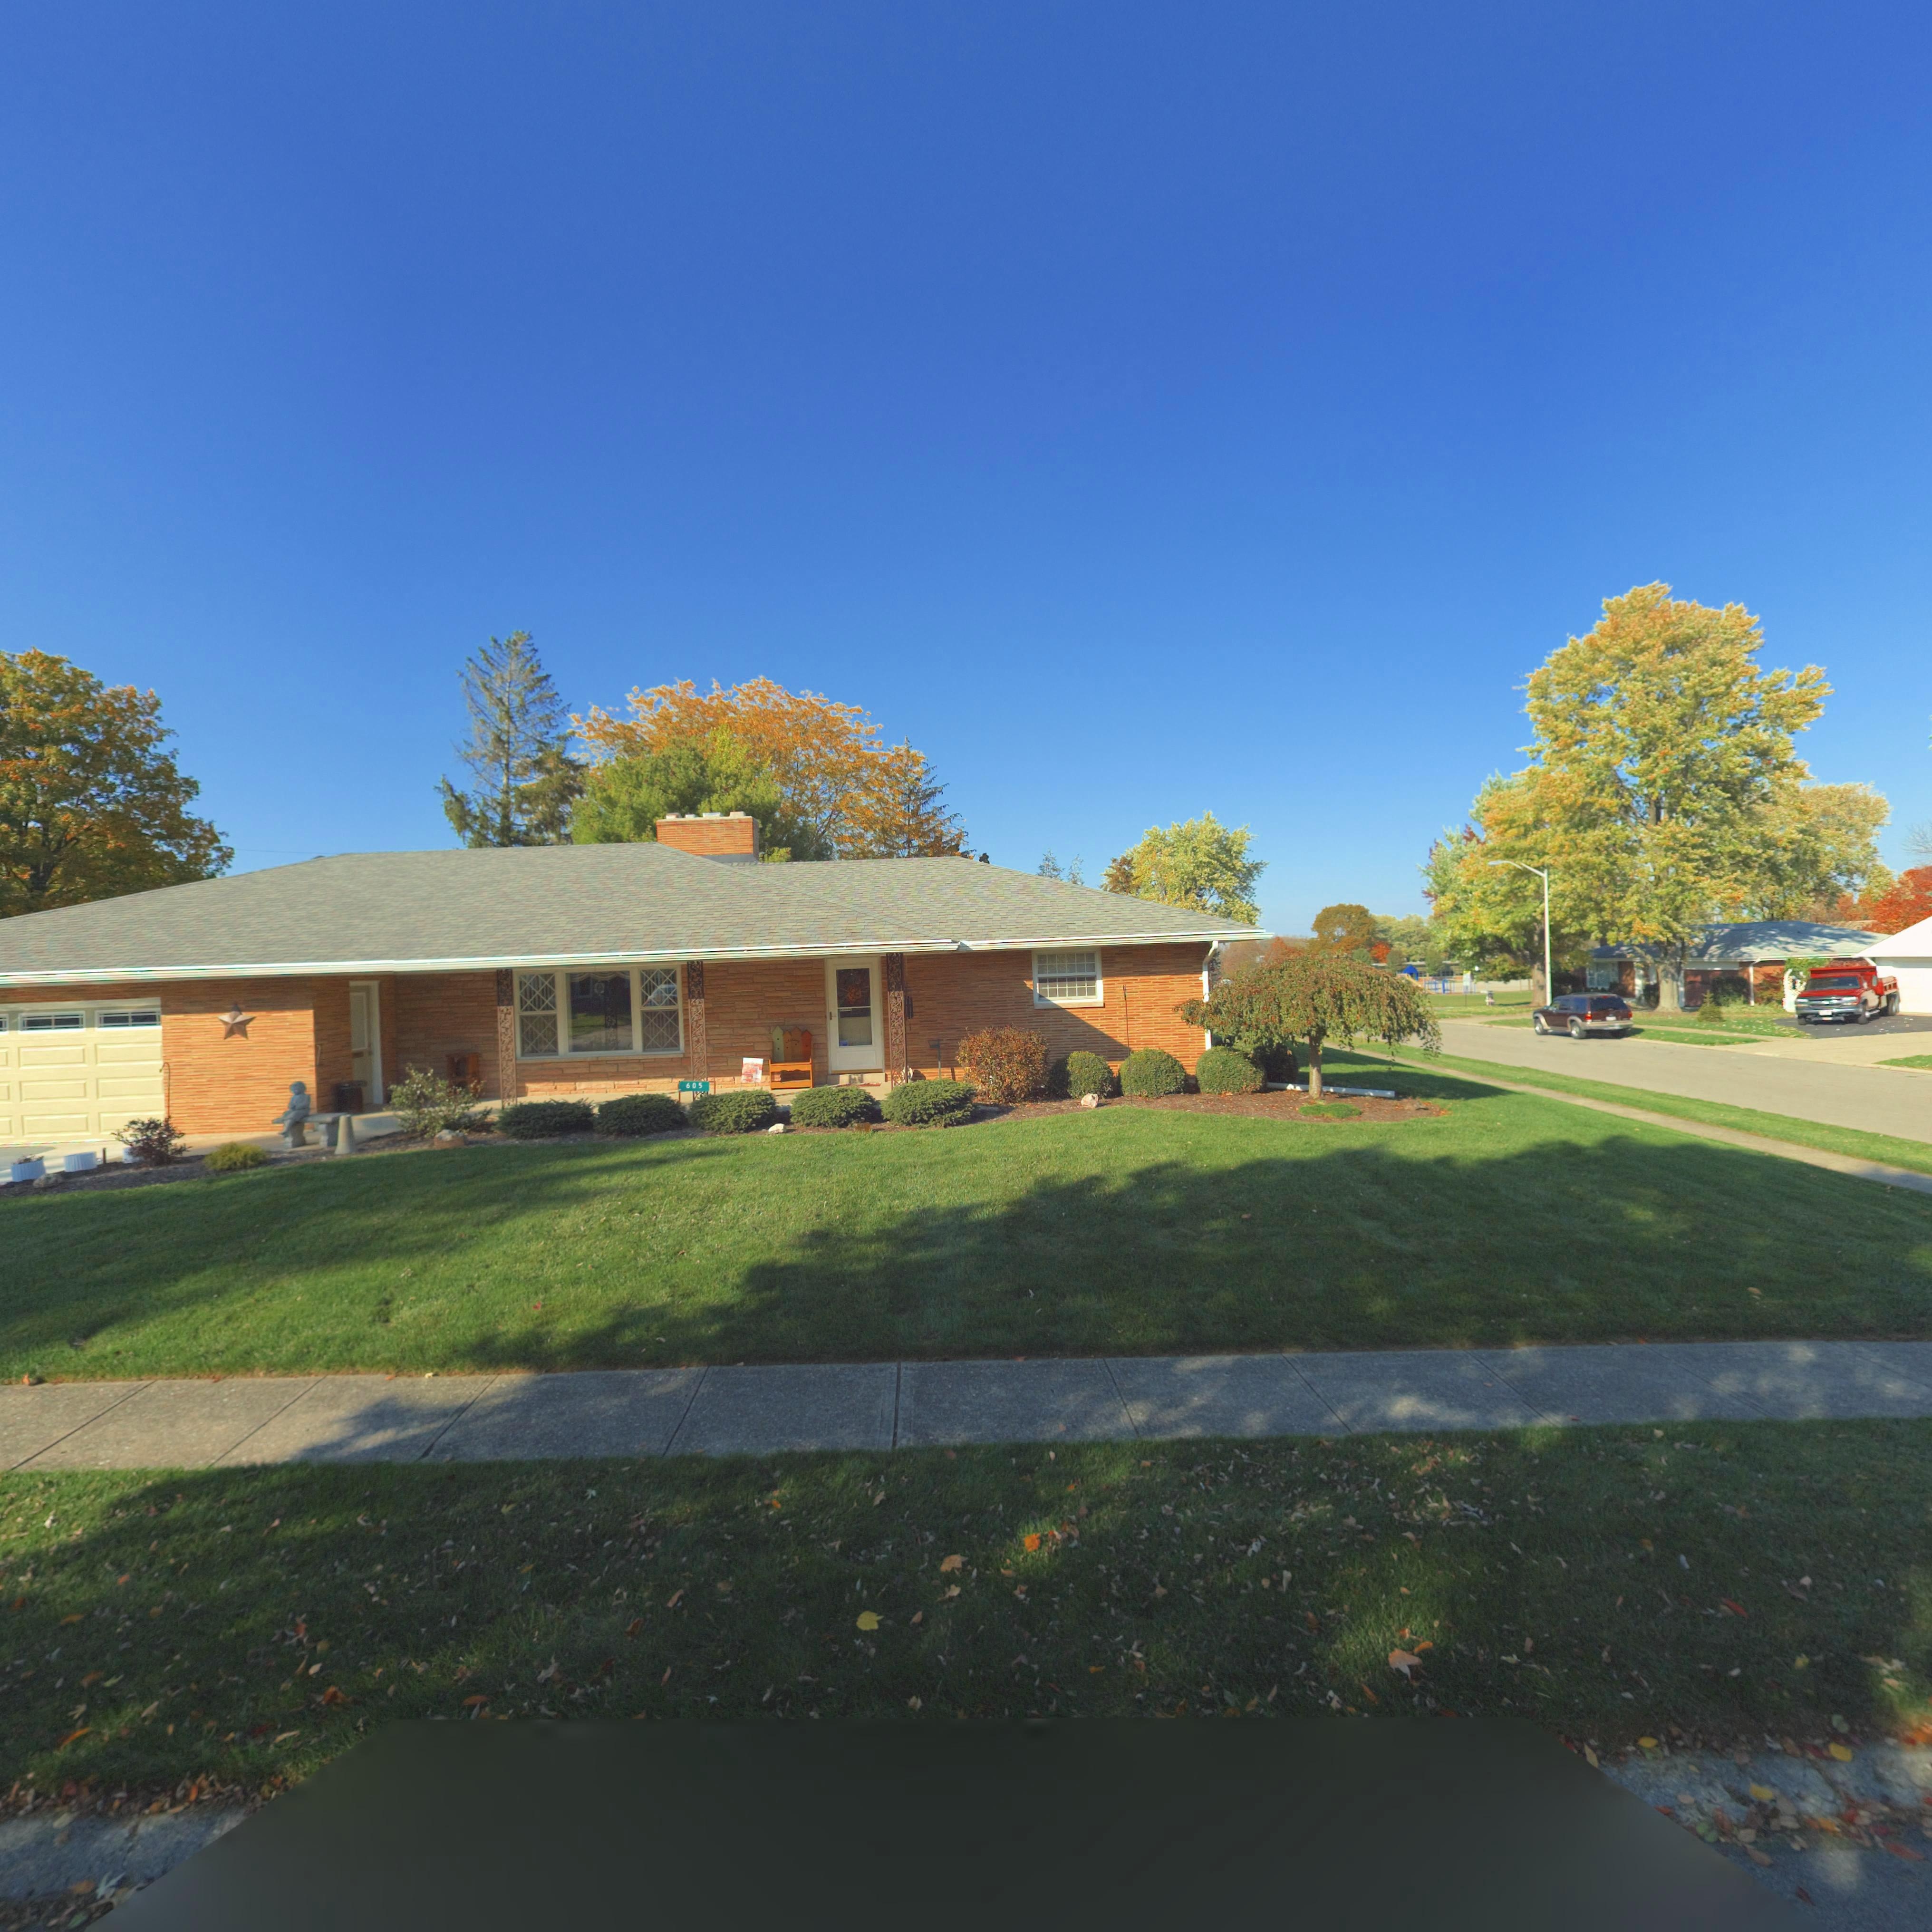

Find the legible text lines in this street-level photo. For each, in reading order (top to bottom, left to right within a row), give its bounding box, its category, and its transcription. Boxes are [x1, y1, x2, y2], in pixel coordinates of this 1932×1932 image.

[686, 1082, 703, 1089] StreetNumber: 605